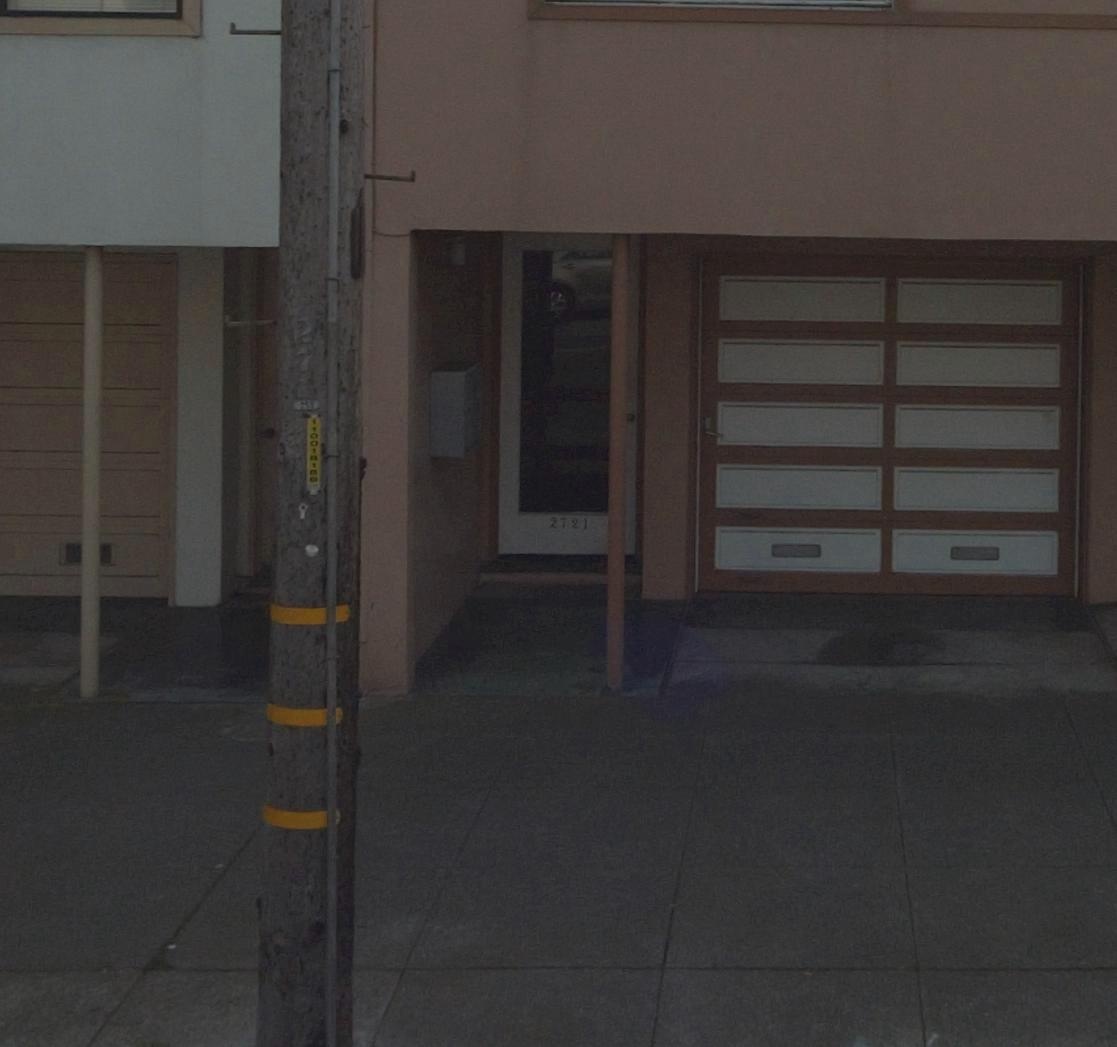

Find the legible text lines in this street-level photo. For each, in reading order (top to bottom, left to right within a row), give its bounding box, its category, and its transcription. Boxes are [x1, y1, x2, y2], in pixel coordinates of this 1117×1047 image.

[294, 317, 315, 374] None: 27
[308, 418, 320, 484] None: 11001*1**
[548, 516, 589, 530] StreetNumber: 2721